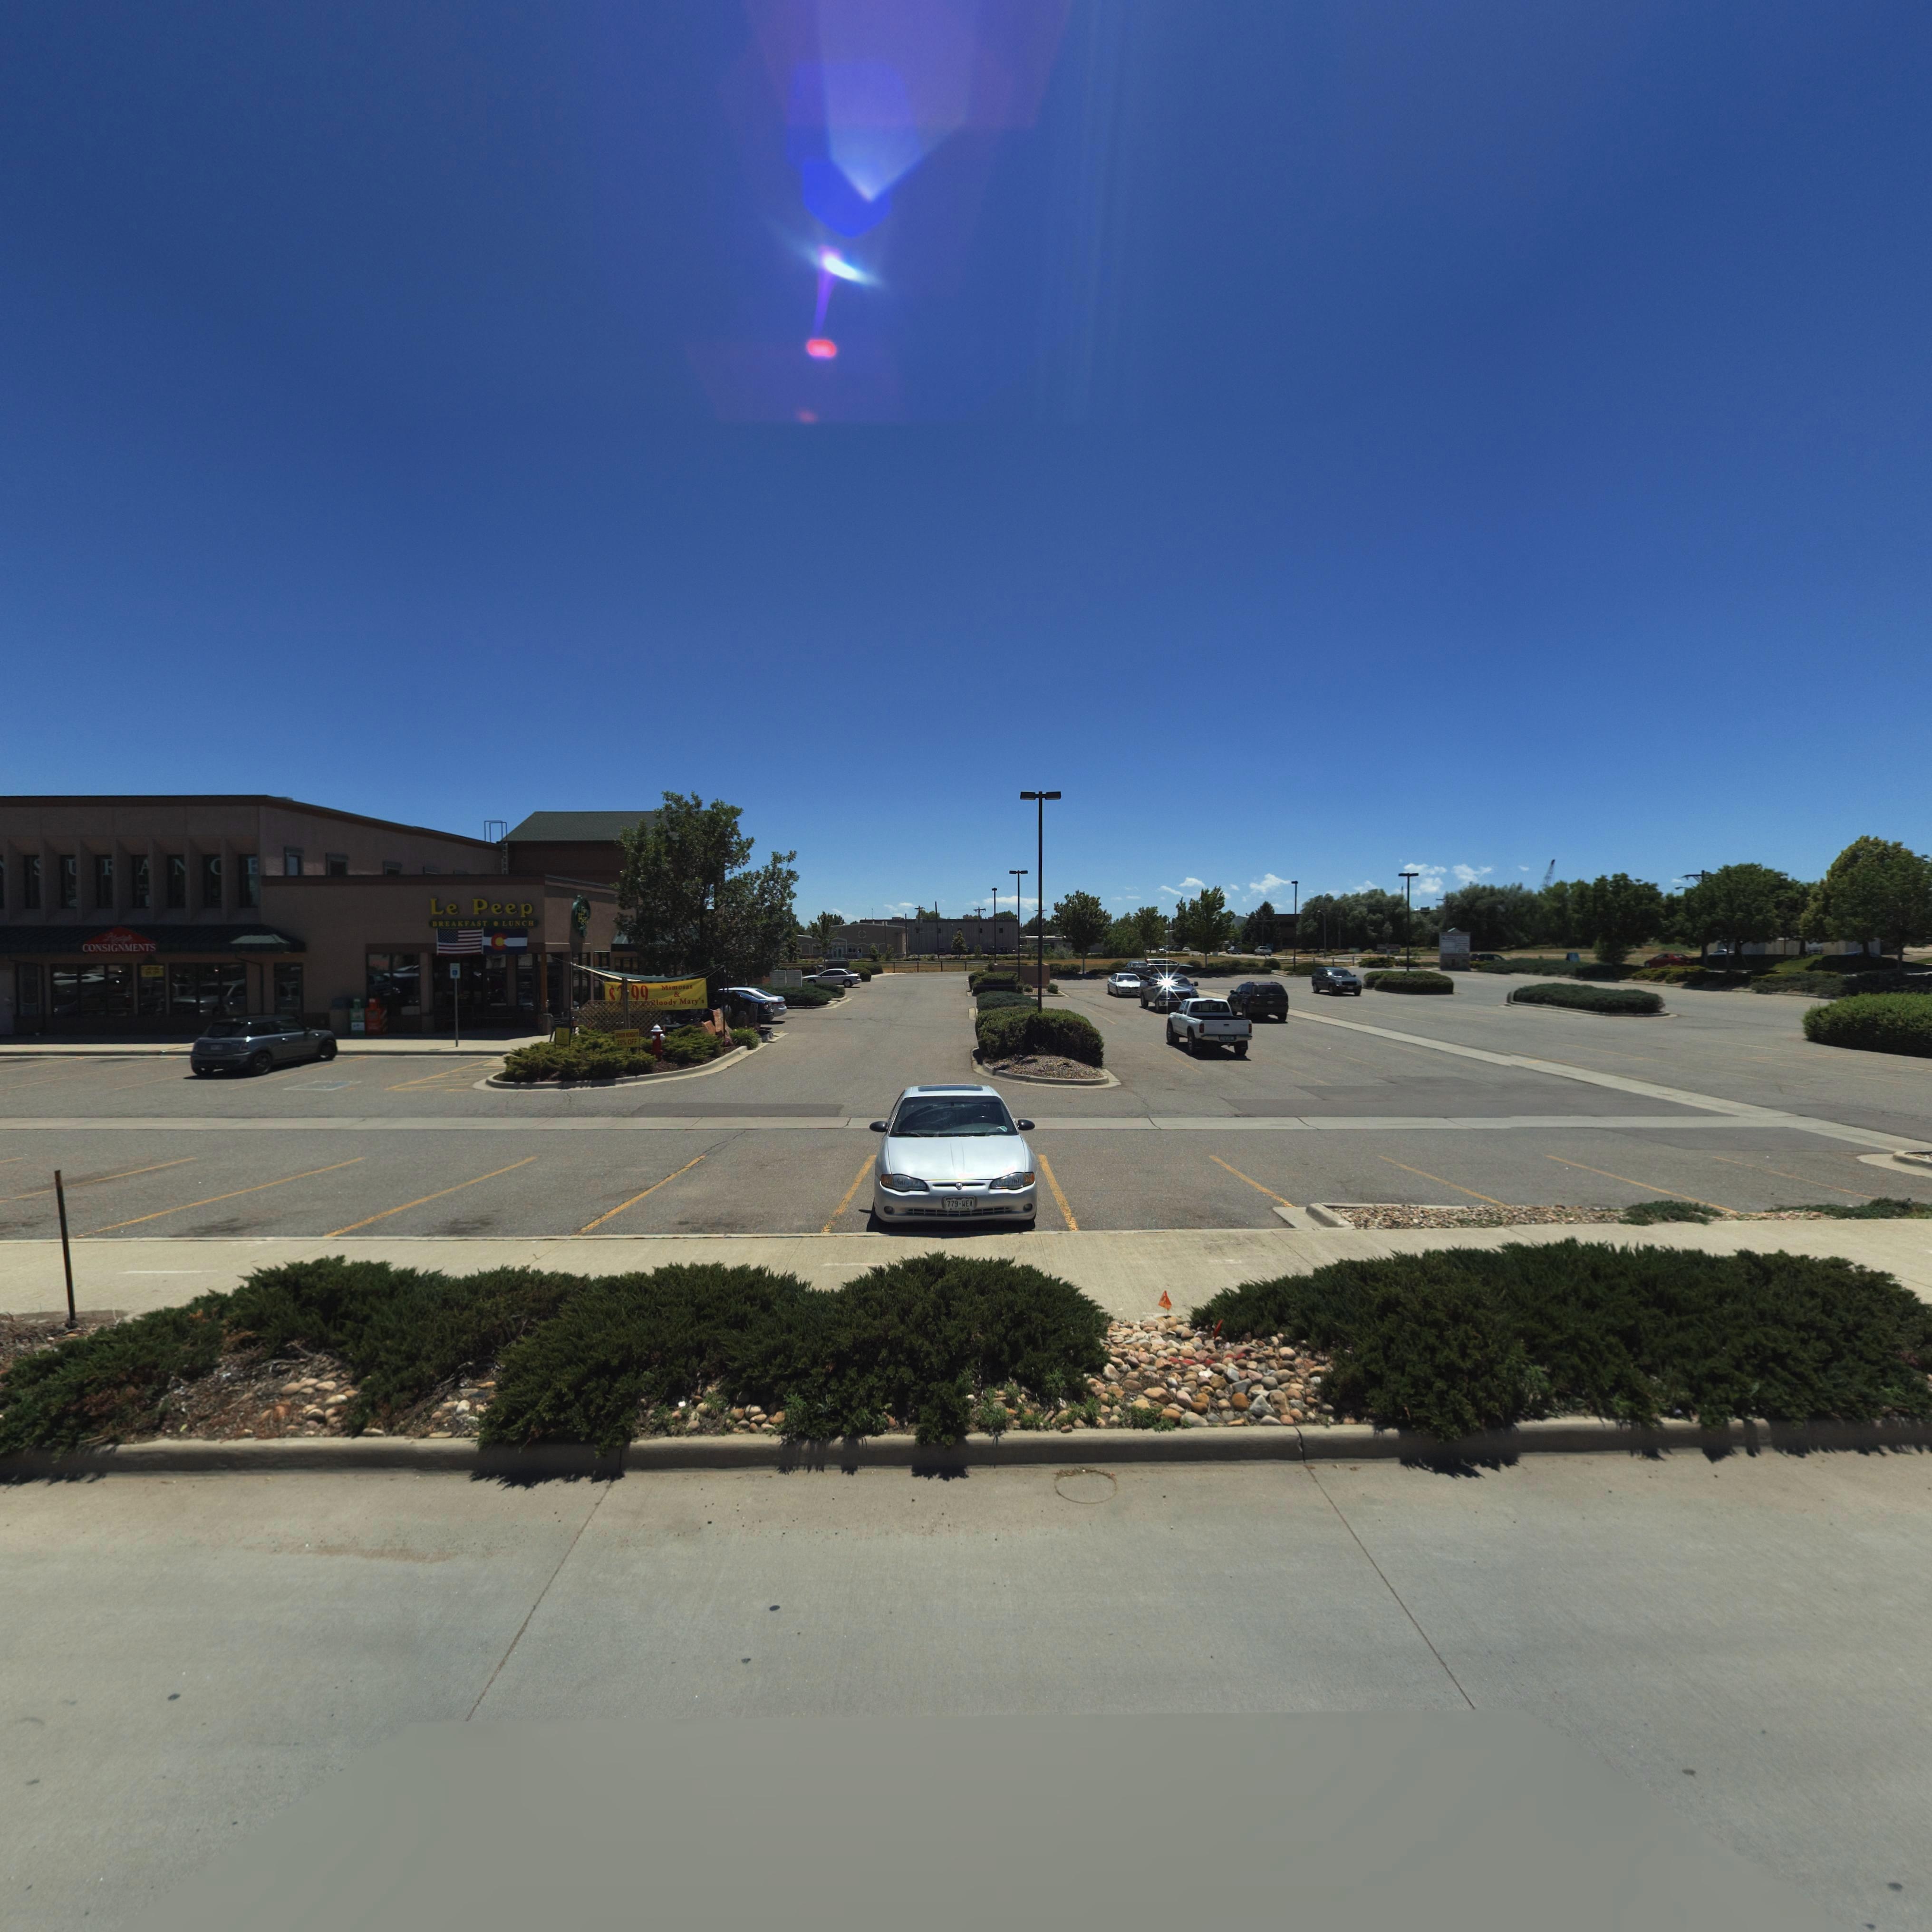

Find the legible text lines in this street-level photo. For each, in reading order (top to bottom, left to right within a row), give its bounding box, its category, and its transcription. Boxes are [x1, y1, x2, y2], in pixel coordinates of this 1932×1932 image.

[429, 898, 533, 918] BusinessName: Le Peep
[82, 943, 156, 952] BusinessName: CONSIGNMENTS